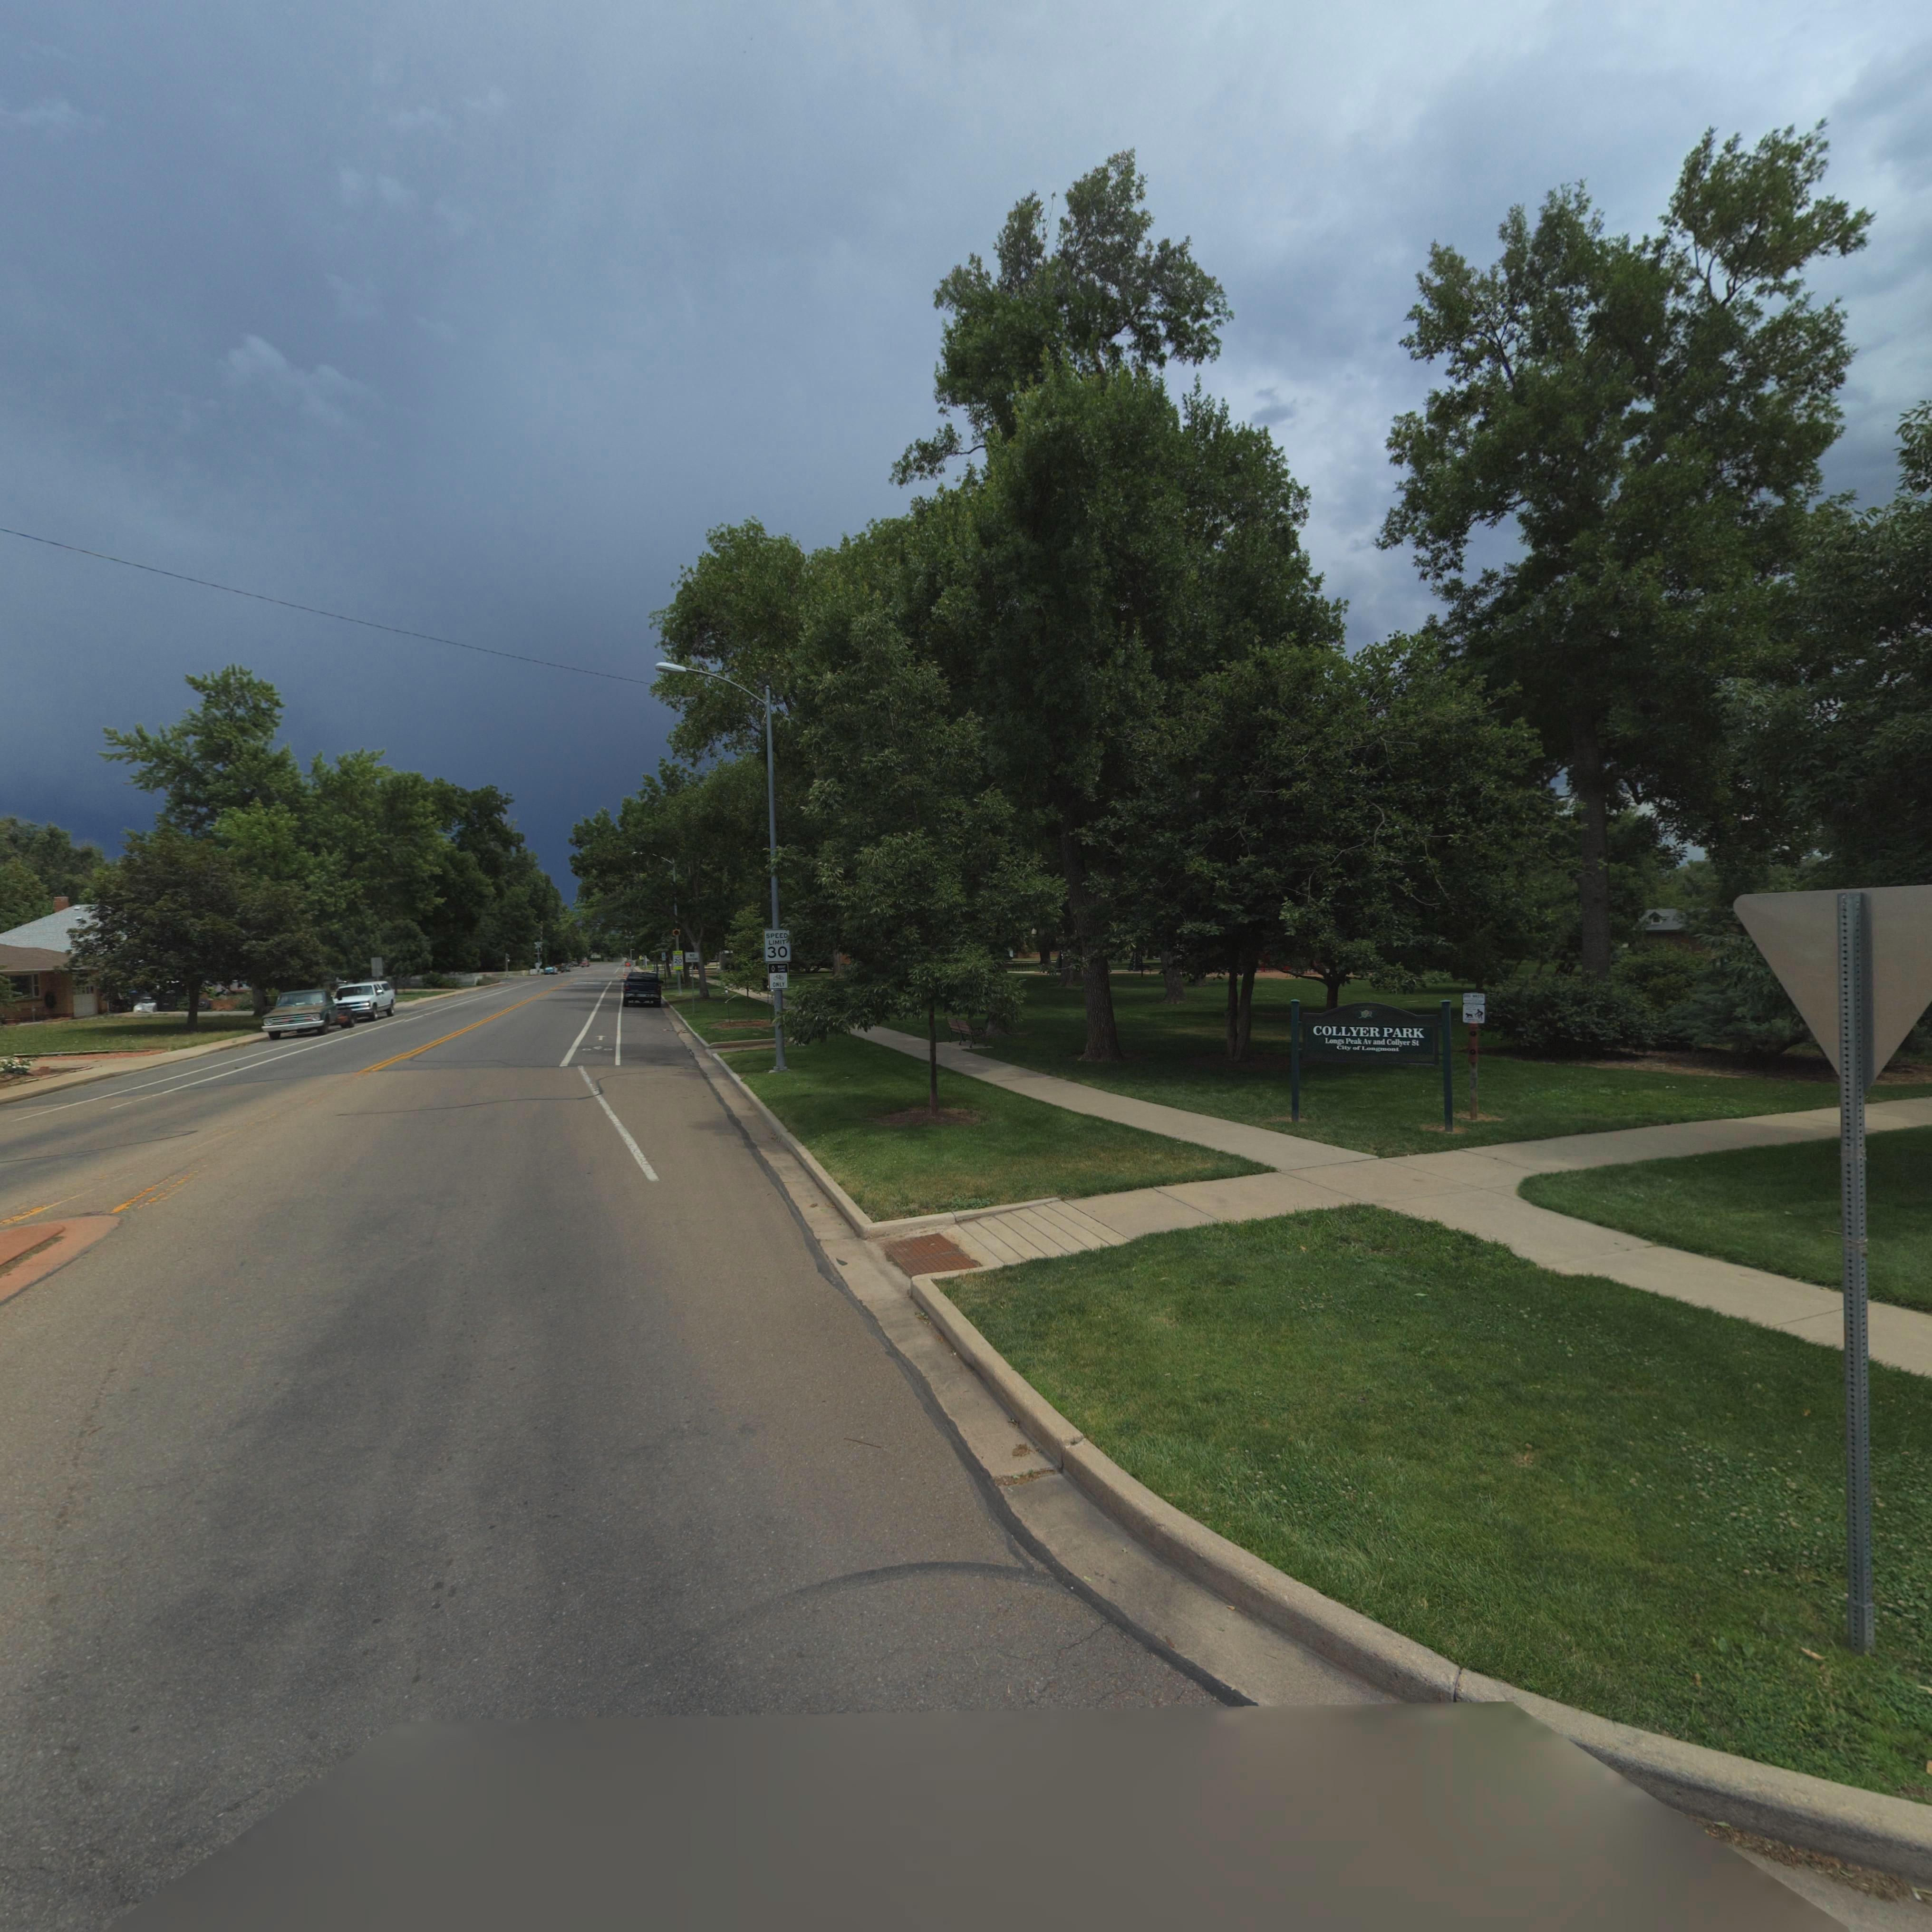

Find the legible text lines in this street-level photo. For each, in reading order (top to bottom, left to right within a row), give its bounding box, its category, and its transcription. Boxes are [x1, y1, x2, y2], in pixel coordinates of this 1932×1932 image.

[1312, 1025, 1425, 1038] BusinessName: COLLYER PARK